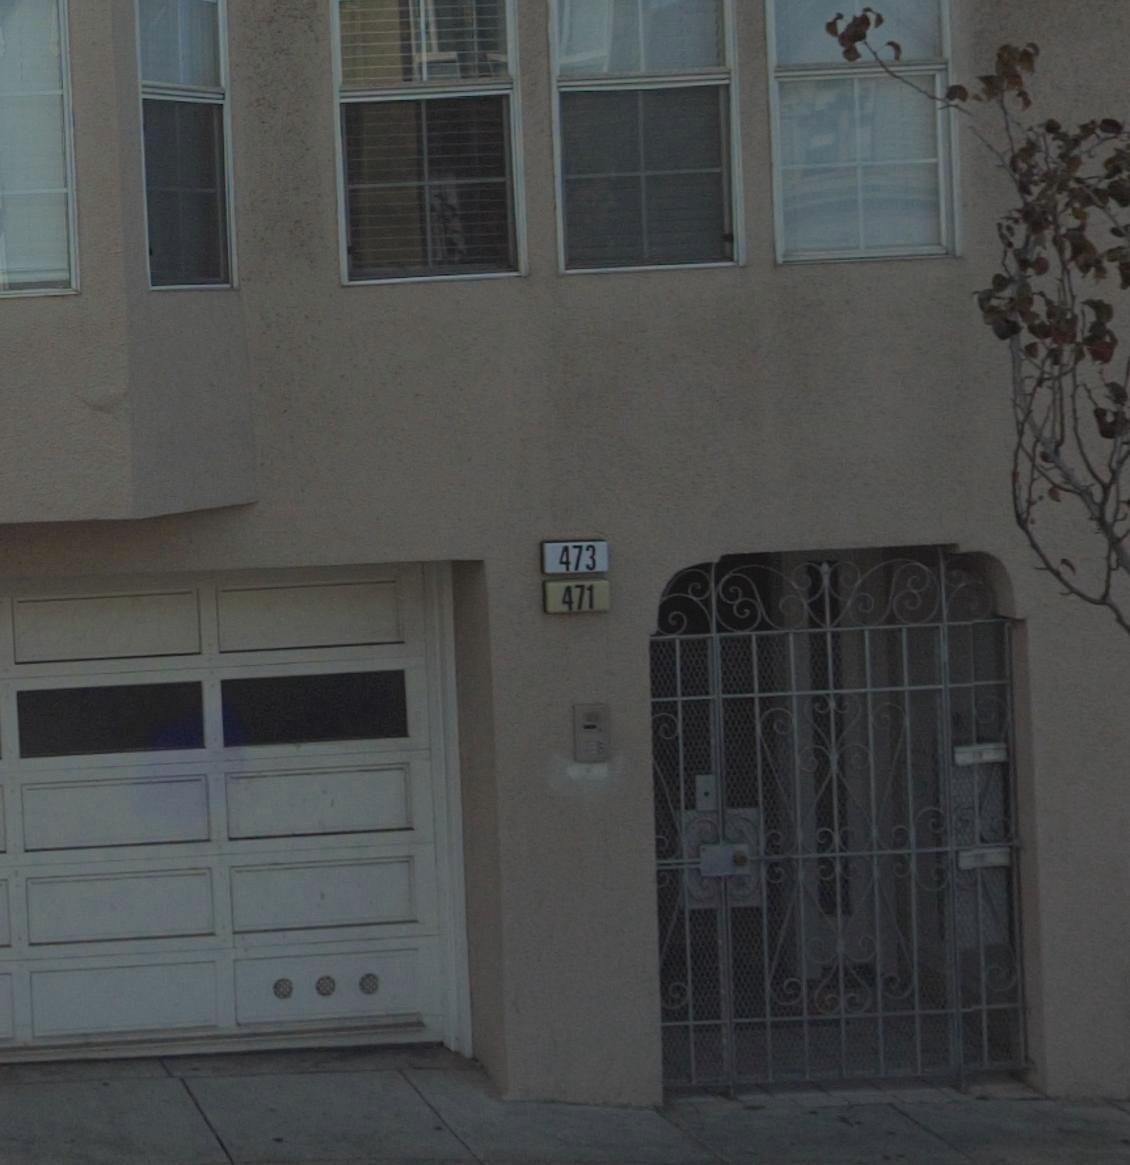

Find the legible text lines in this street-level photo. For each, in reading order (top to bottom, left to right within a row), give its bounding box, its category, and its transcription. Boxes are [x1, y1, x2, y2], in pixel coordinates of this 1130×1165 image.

[557, 544, 599, 573] StreetNumber: 473
[560, 583, 597, 611] StreetNumber: 471